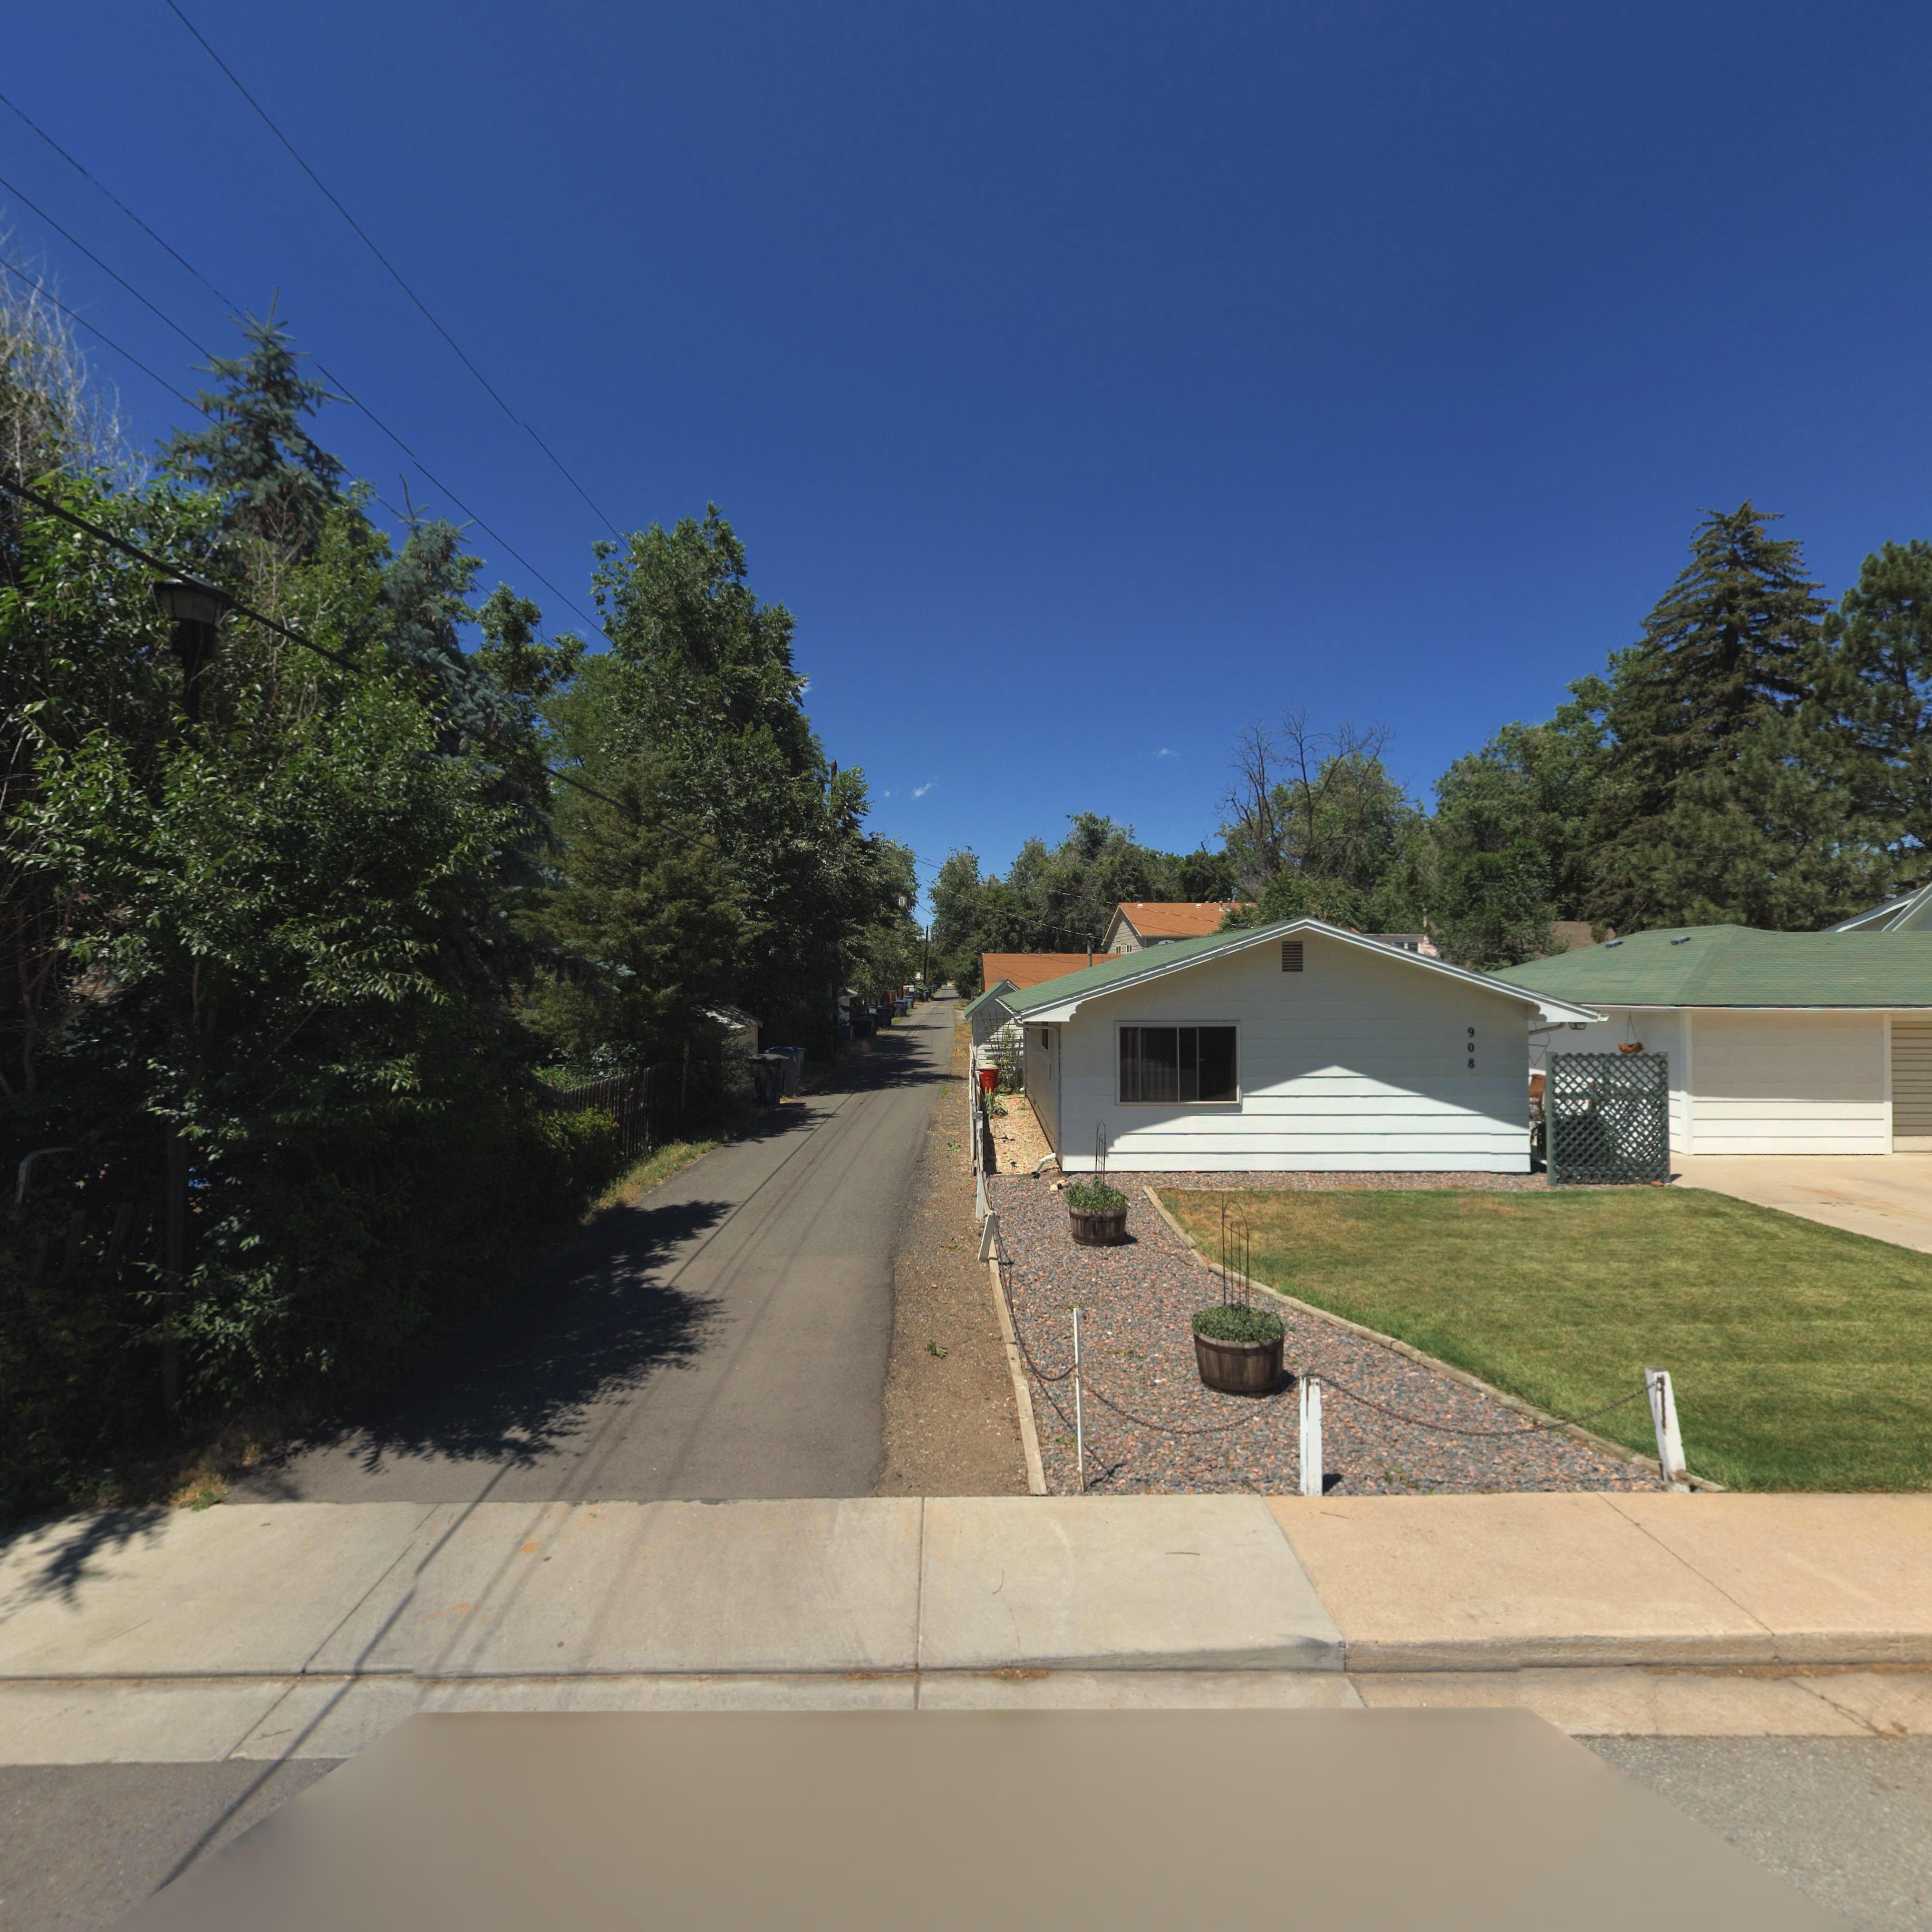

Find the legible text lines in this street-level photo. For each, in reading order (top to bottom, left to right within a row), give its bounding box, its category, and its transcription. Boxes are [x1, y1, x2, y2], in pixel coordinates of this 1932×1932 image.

[1467, 1026, 1475, 1069] StreetNumber: 908